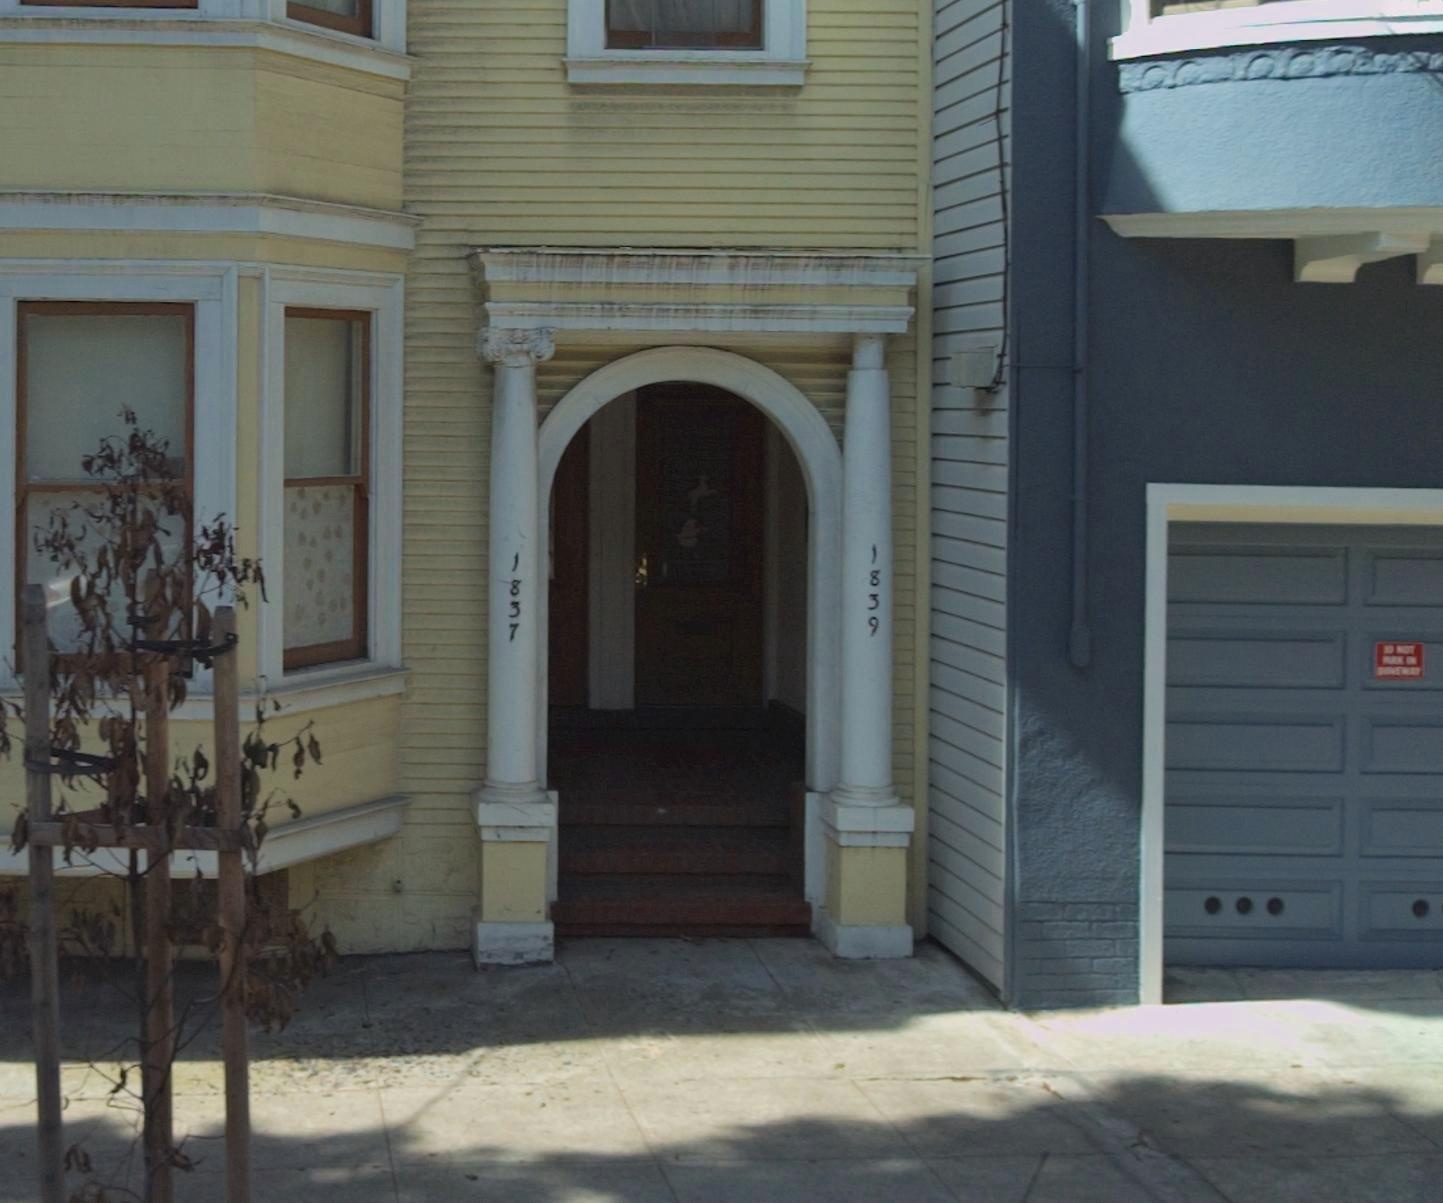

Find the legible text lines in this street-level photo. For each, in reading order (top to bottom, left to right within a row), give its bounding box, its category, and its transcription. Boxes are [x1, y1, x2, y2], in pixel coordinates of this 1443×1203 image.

[506, 551, 523, 644] StreetNumber: 1837
[865, 542, 883, 639] StreetNumber: 1839